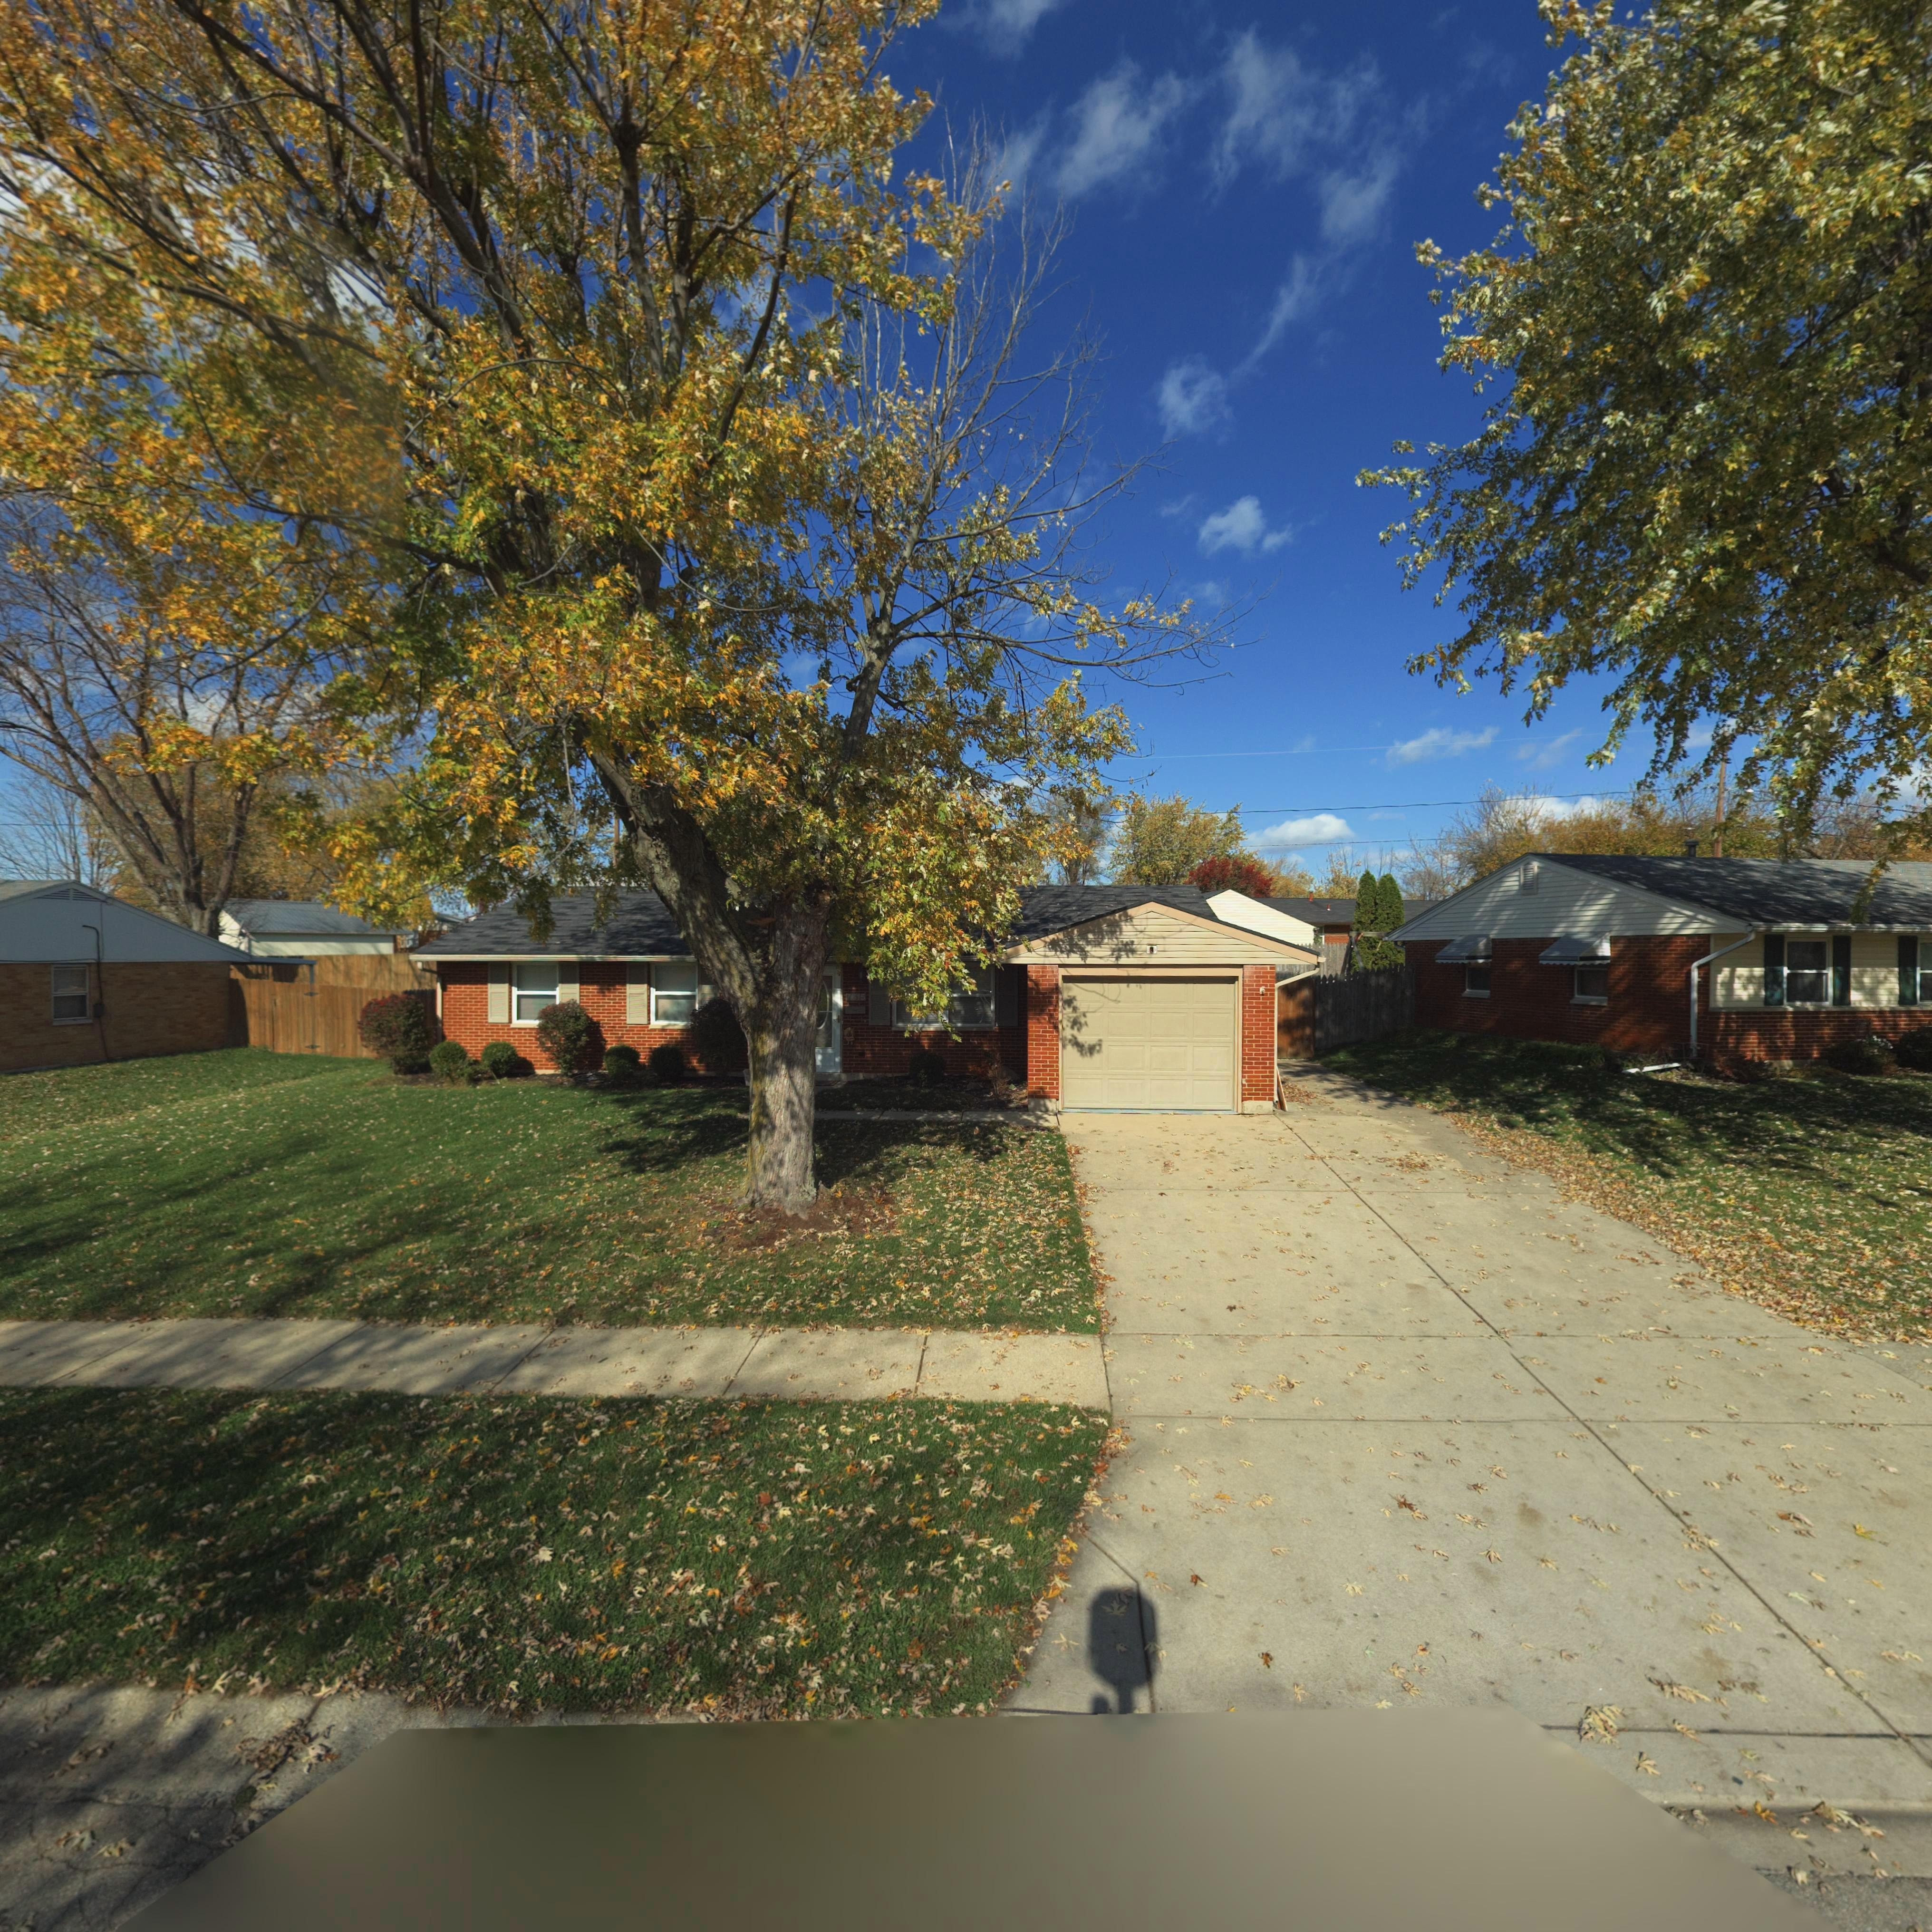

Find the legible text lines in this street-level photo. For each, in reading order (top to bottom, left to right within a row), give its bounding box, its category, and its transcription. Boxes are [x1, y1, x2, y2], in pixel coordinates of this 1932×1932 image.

[845, 993, 866, 1001] StreetNumber: 7615